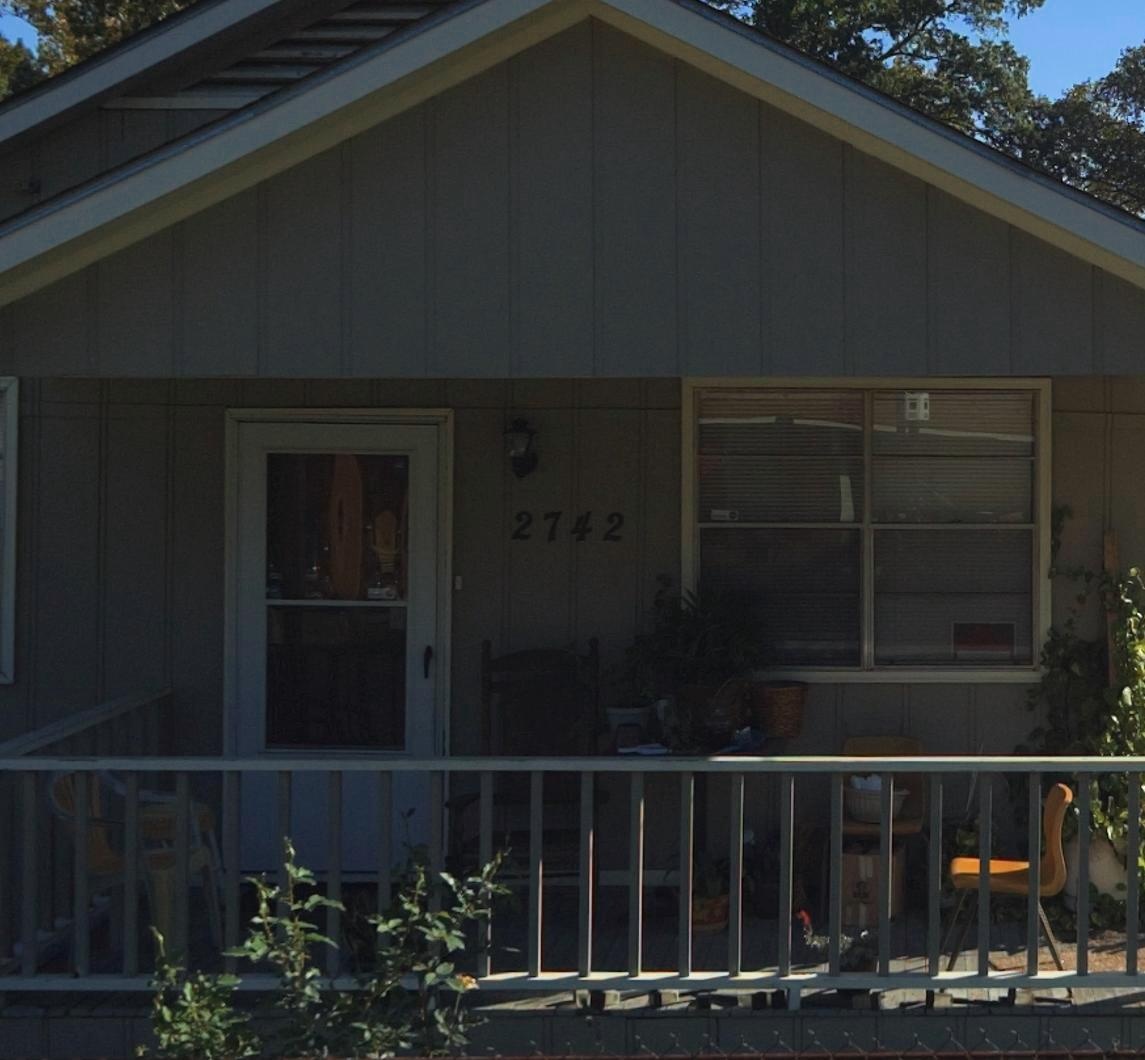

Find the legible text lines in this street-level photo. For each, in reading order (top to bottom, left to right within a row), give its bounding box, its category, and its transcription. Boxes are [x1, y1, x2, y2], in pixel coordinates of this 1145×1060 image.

[508, 508, 628, 543] StreetNumber: 2742